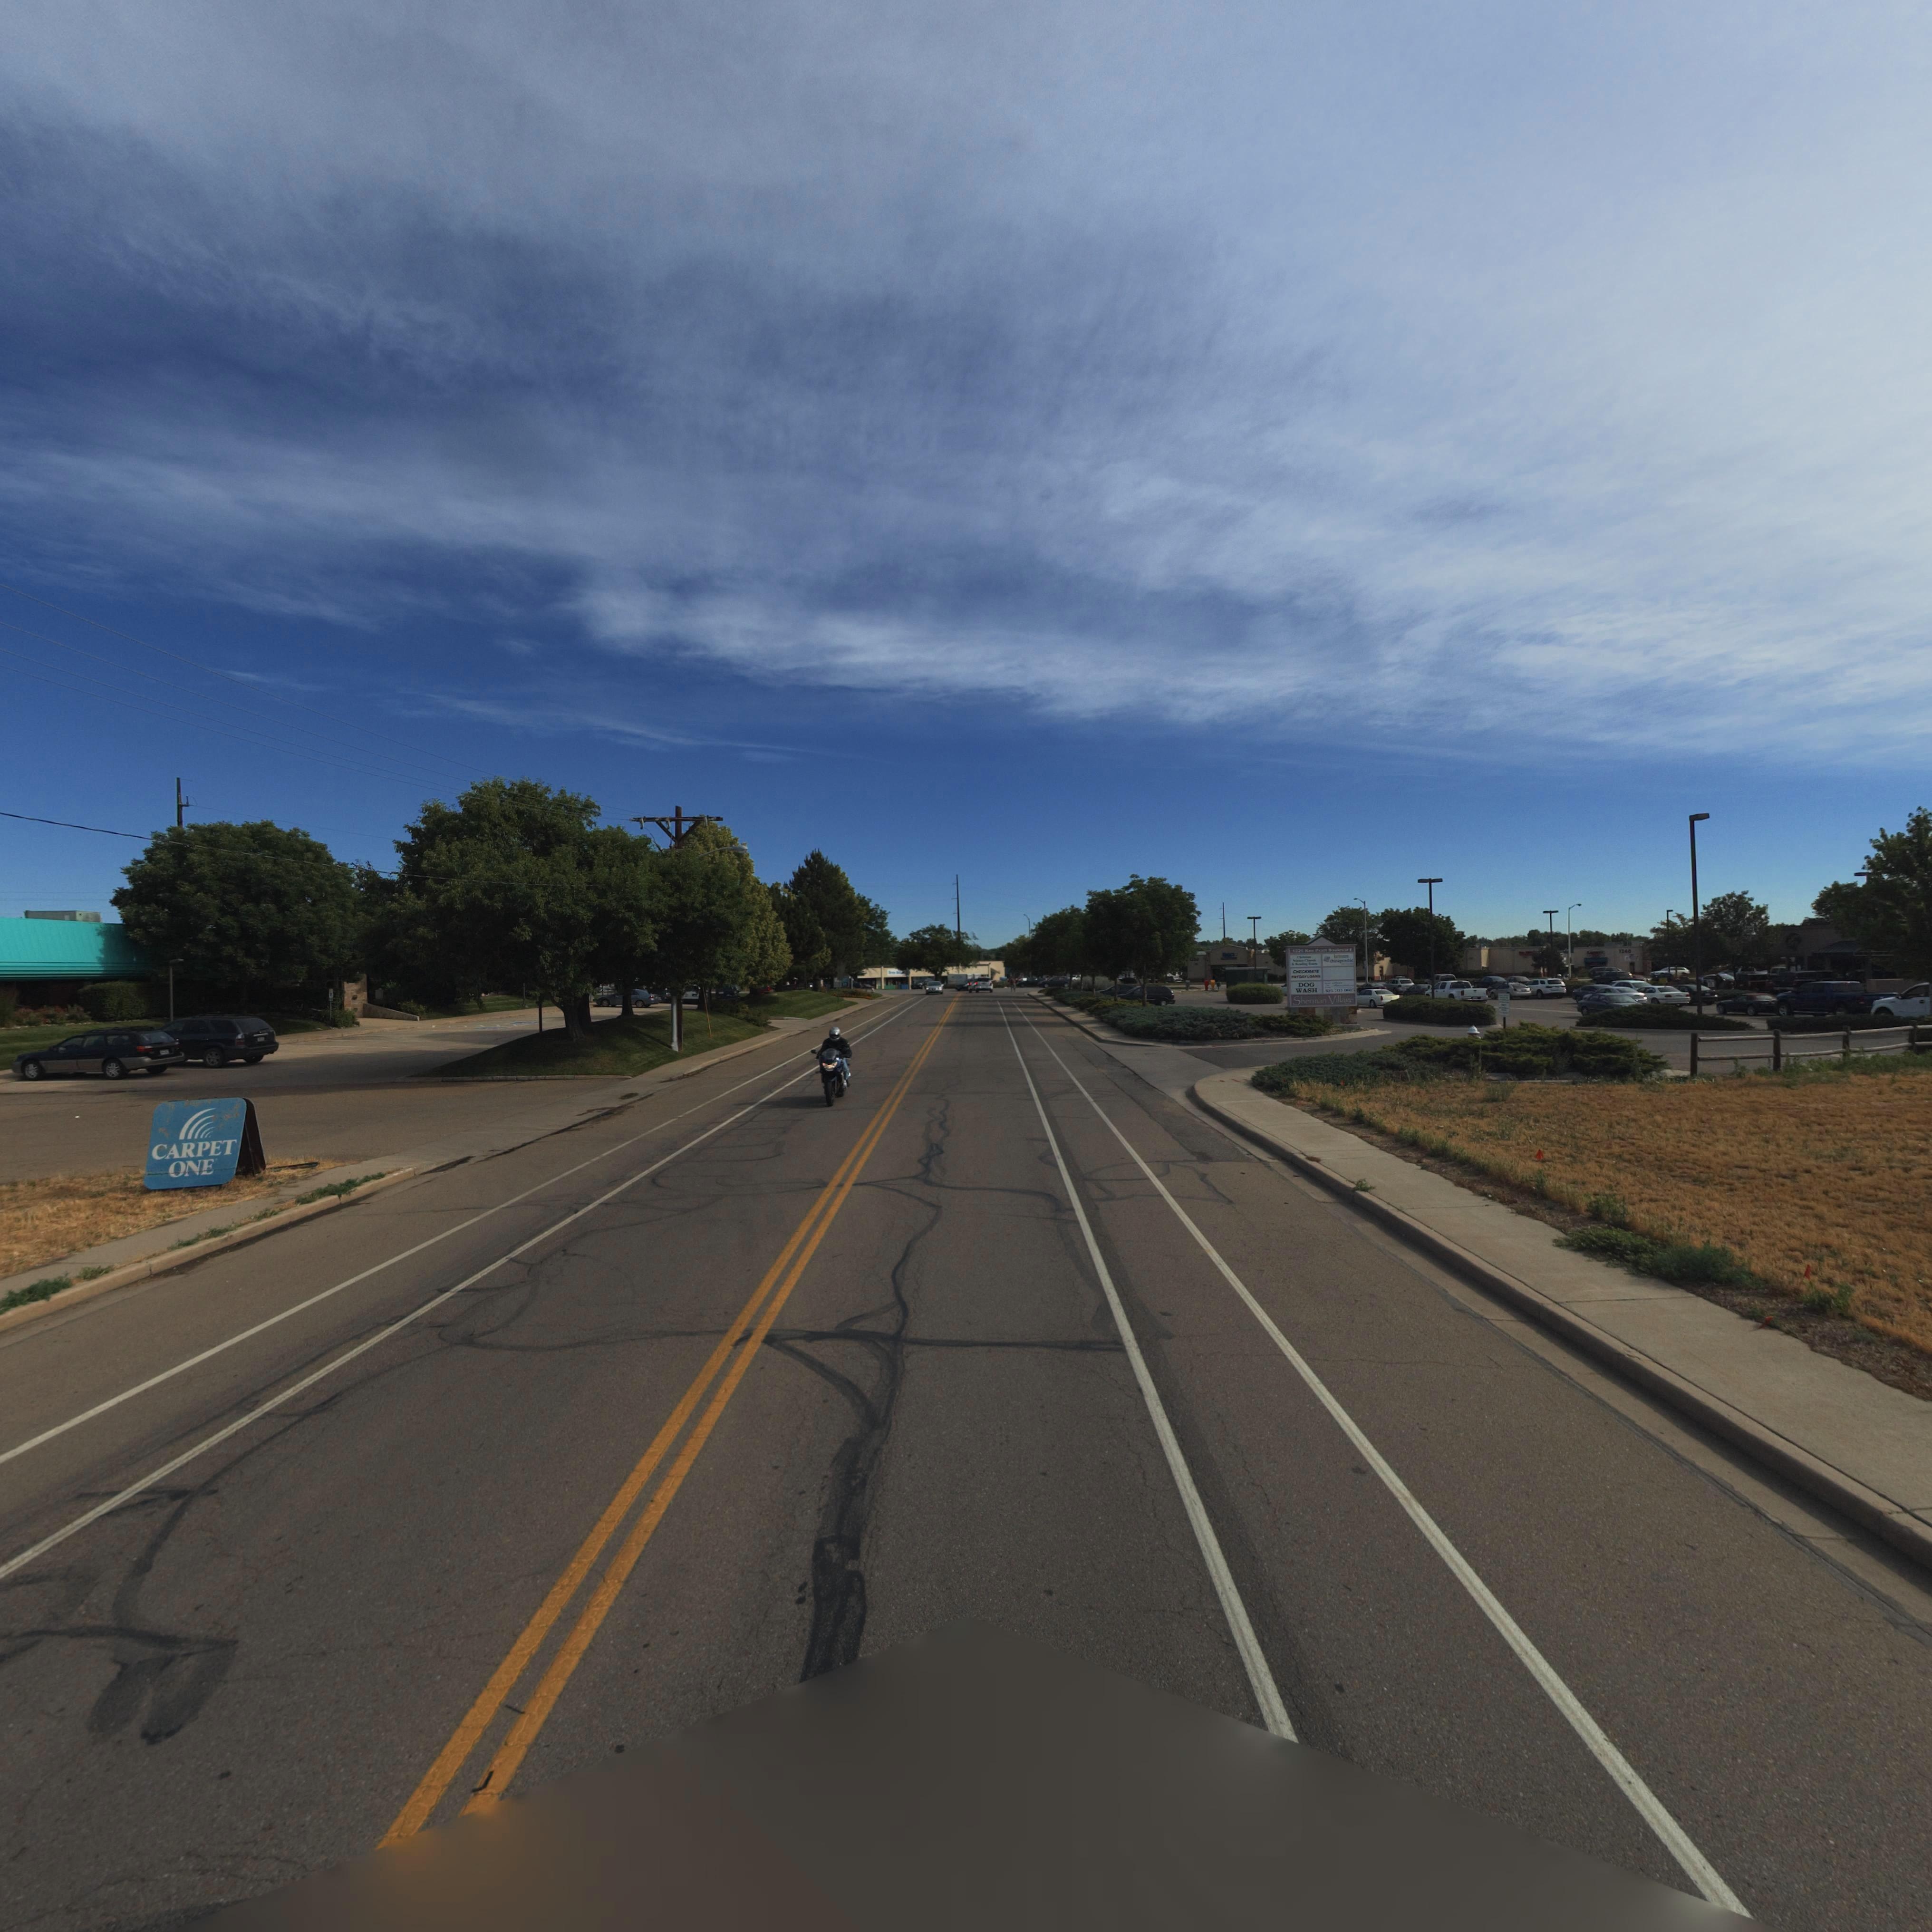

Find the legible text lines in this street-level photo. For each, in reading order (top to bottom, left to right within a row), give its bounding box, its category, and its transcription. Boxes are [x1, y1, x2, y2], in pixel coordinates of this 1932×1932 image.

[152, 1140, 237, 1159] BusinessName: CARPET
[168, 1158, 214, 1178] BusinessName: ONE